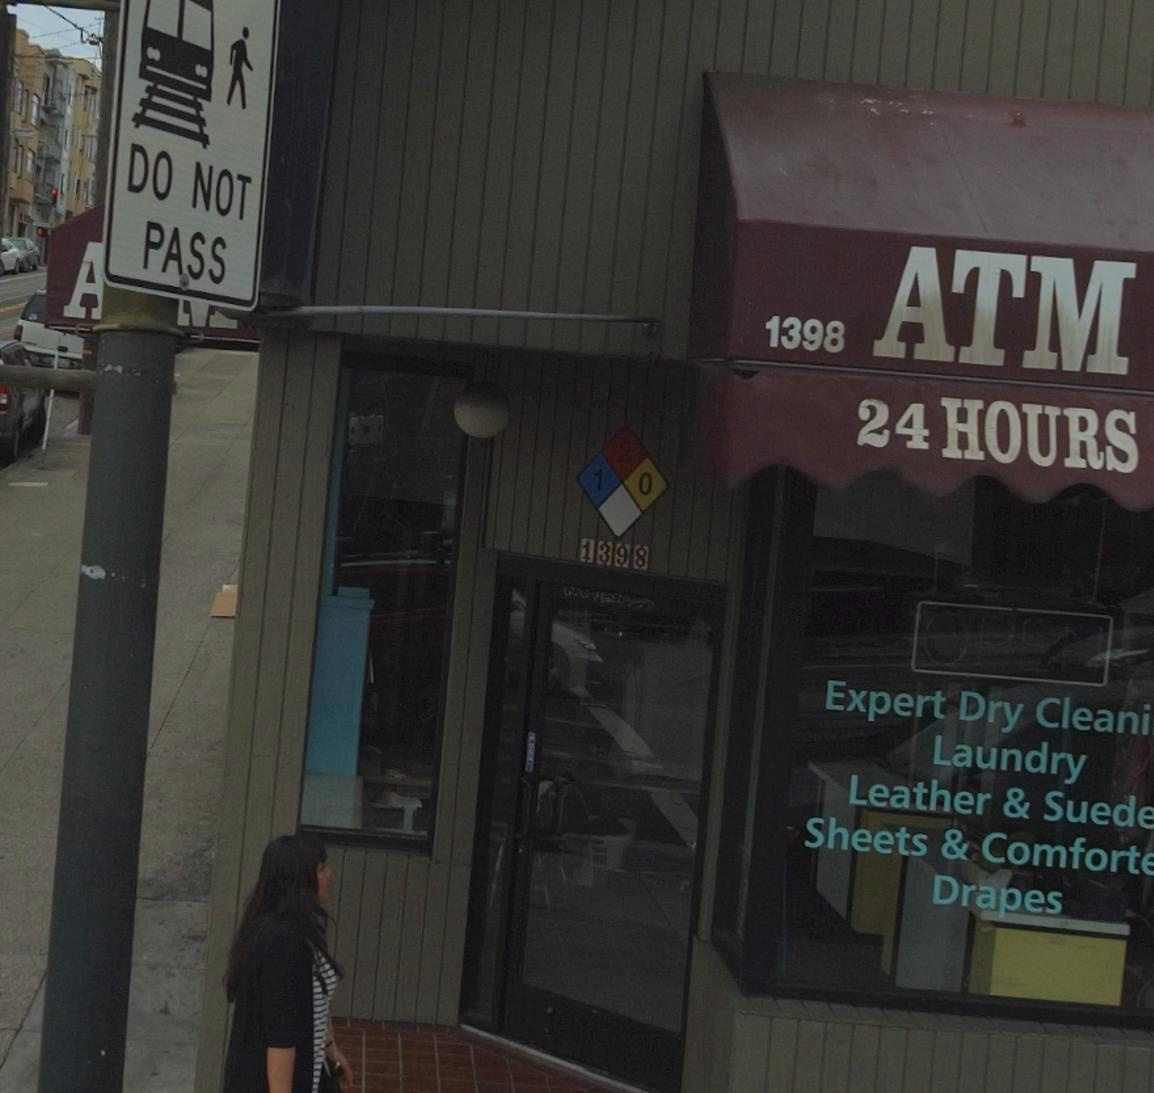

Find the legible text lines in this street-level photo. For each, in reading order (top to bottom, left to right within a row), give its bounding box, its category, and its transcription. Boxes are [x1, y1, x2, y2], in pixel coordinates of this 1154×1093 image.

[125, 140, 255, 224] None: DO NOT
[141, 218, 230, 287] None: PASS
[762, 312, 851, 355] StreetNumber: 1398
[869, 242, 1139, 378] None: ATM
[591, 466, 605, 494] None: 1
[614, 437, 635, 466] None: 2
[637, 468, 655, 498] None: 0
[852, 395, 1141, 475] None: 24 HOURS
[580, 538, 648, 568] StreetNumber: 1398
[823, 677, 1152, 737] None: Expety Dry Cleani
[931, 732, 1092, 786] None: Laundry
[847, 772, 1138, 829] None: Leather & Sued
[802, 813, 1143, 876] None: Sheets & Comfort
[931, 873, 1066, 920] None: Drapes